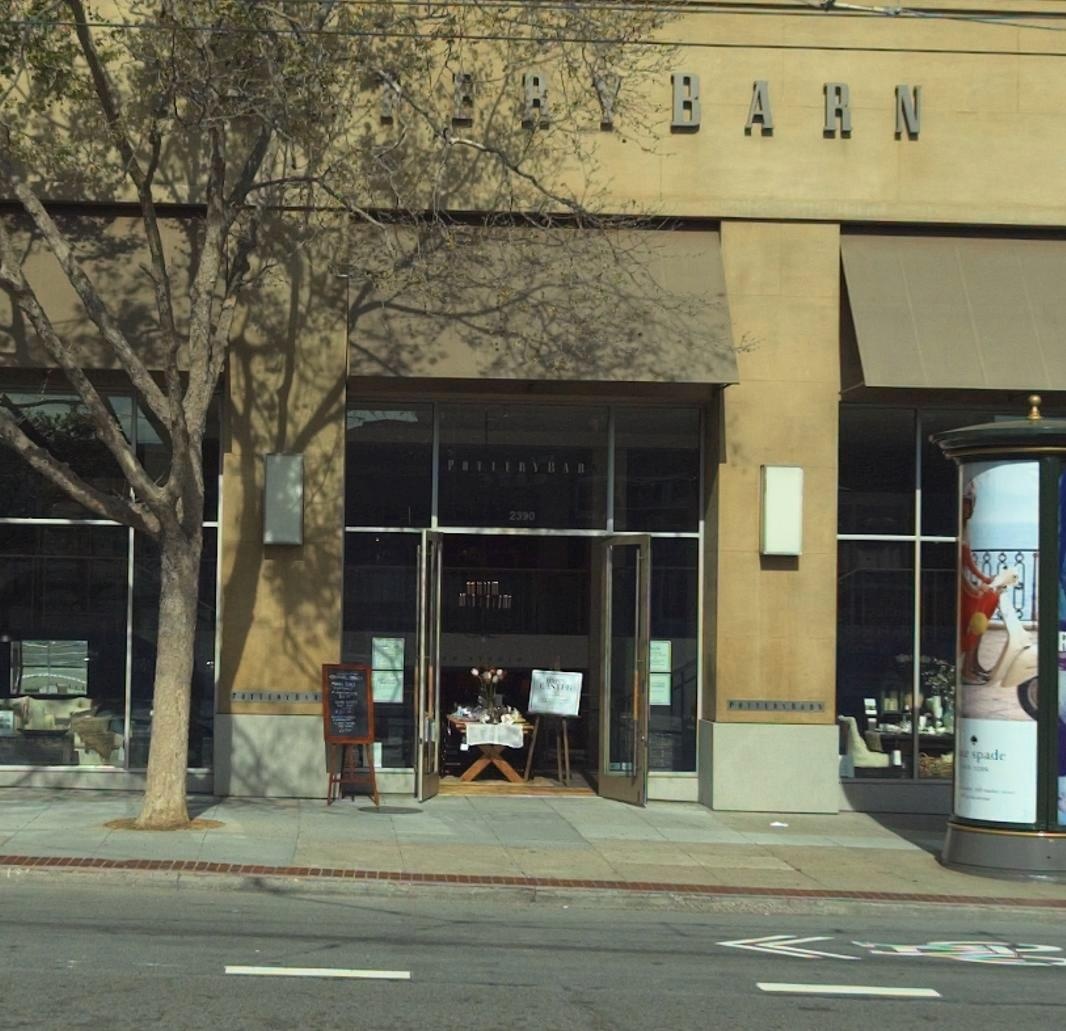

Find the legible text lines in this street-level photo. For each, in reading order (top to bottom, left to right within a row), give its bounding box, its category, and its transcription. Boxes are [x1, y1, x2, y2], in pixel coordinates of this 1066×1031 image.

[374, 62, 929, 137] BusinessName: ****BARN
[446, 458, 587, 474] BusinessName: POTTERYBARN
[508, 510, 536, 521] StreetNumber: 2390
[230, 691, 322, 702] BusinessName: POTTERYBAR
[727, 700, 823, 711] BusinessName: POTTERYBARN
[971, 748, 1006, 765] None: spade